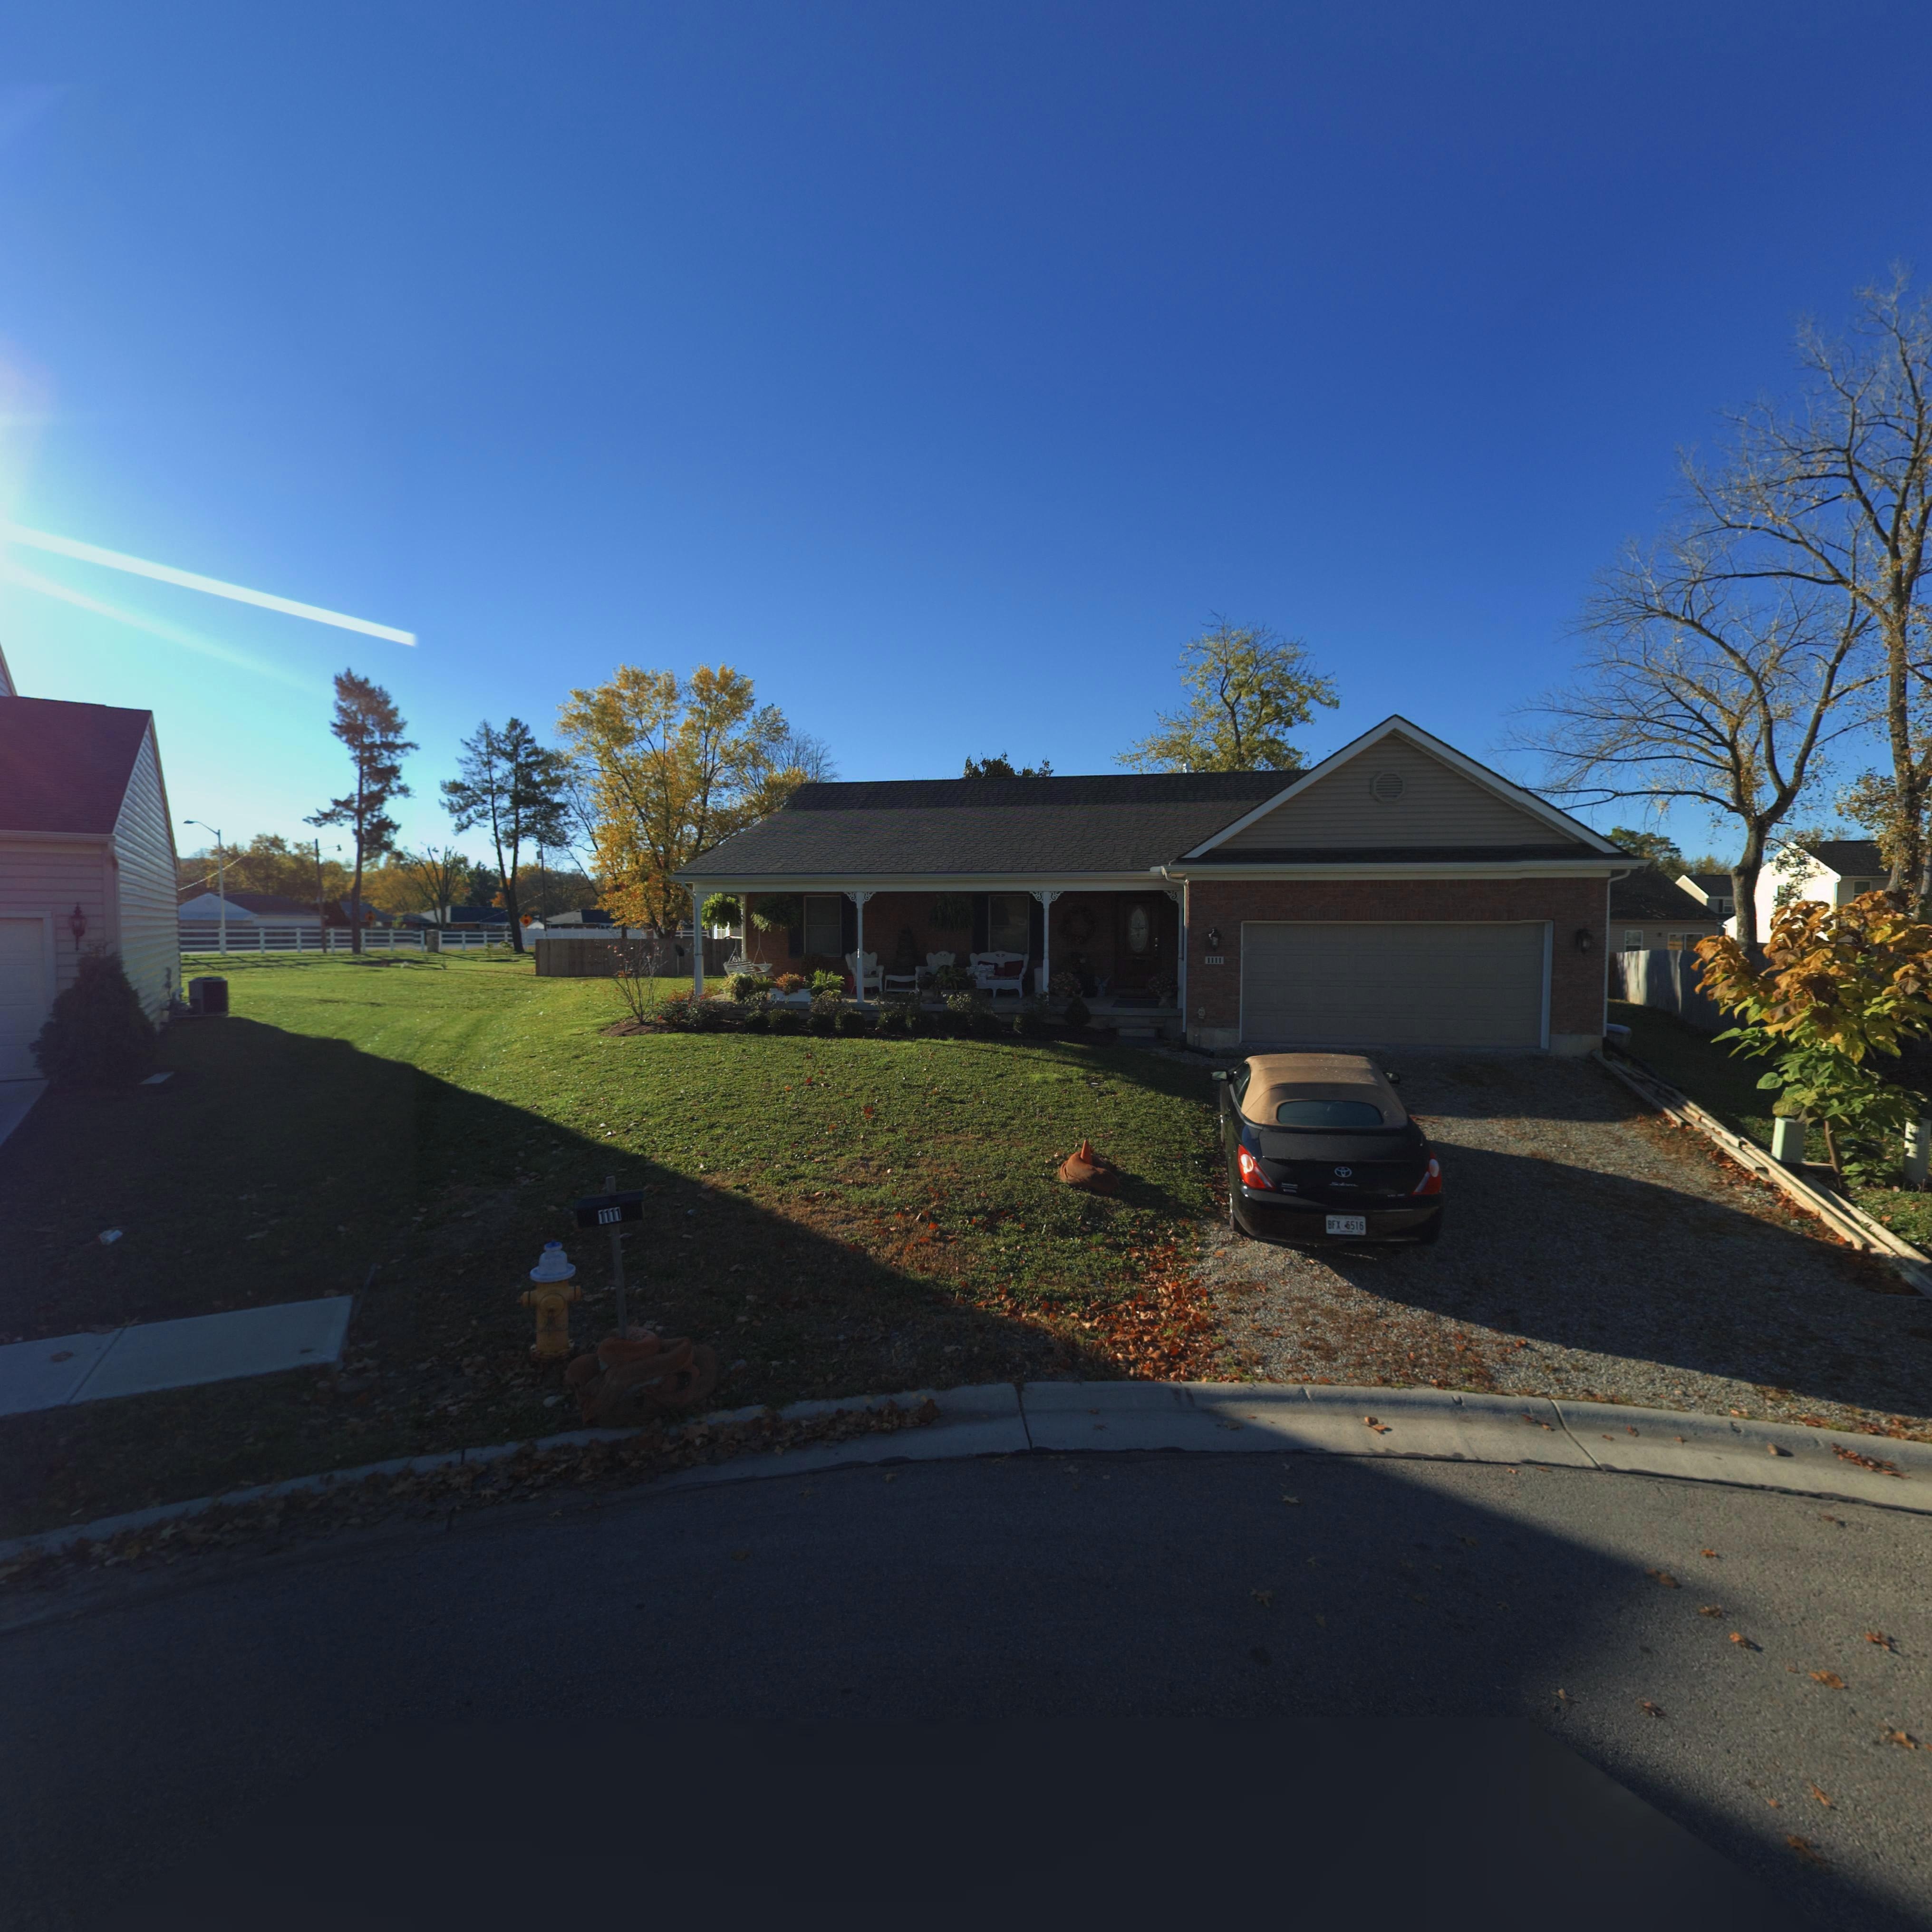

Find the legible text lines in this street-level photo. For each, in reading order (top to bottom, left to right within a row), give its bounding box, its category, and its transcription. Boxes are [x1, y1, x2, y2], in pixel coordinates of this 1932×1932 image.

[1207, 956, 1222, 964] StreetNumber: 1111
[598, 1207, 622, 1224] StreetNumber: 1111